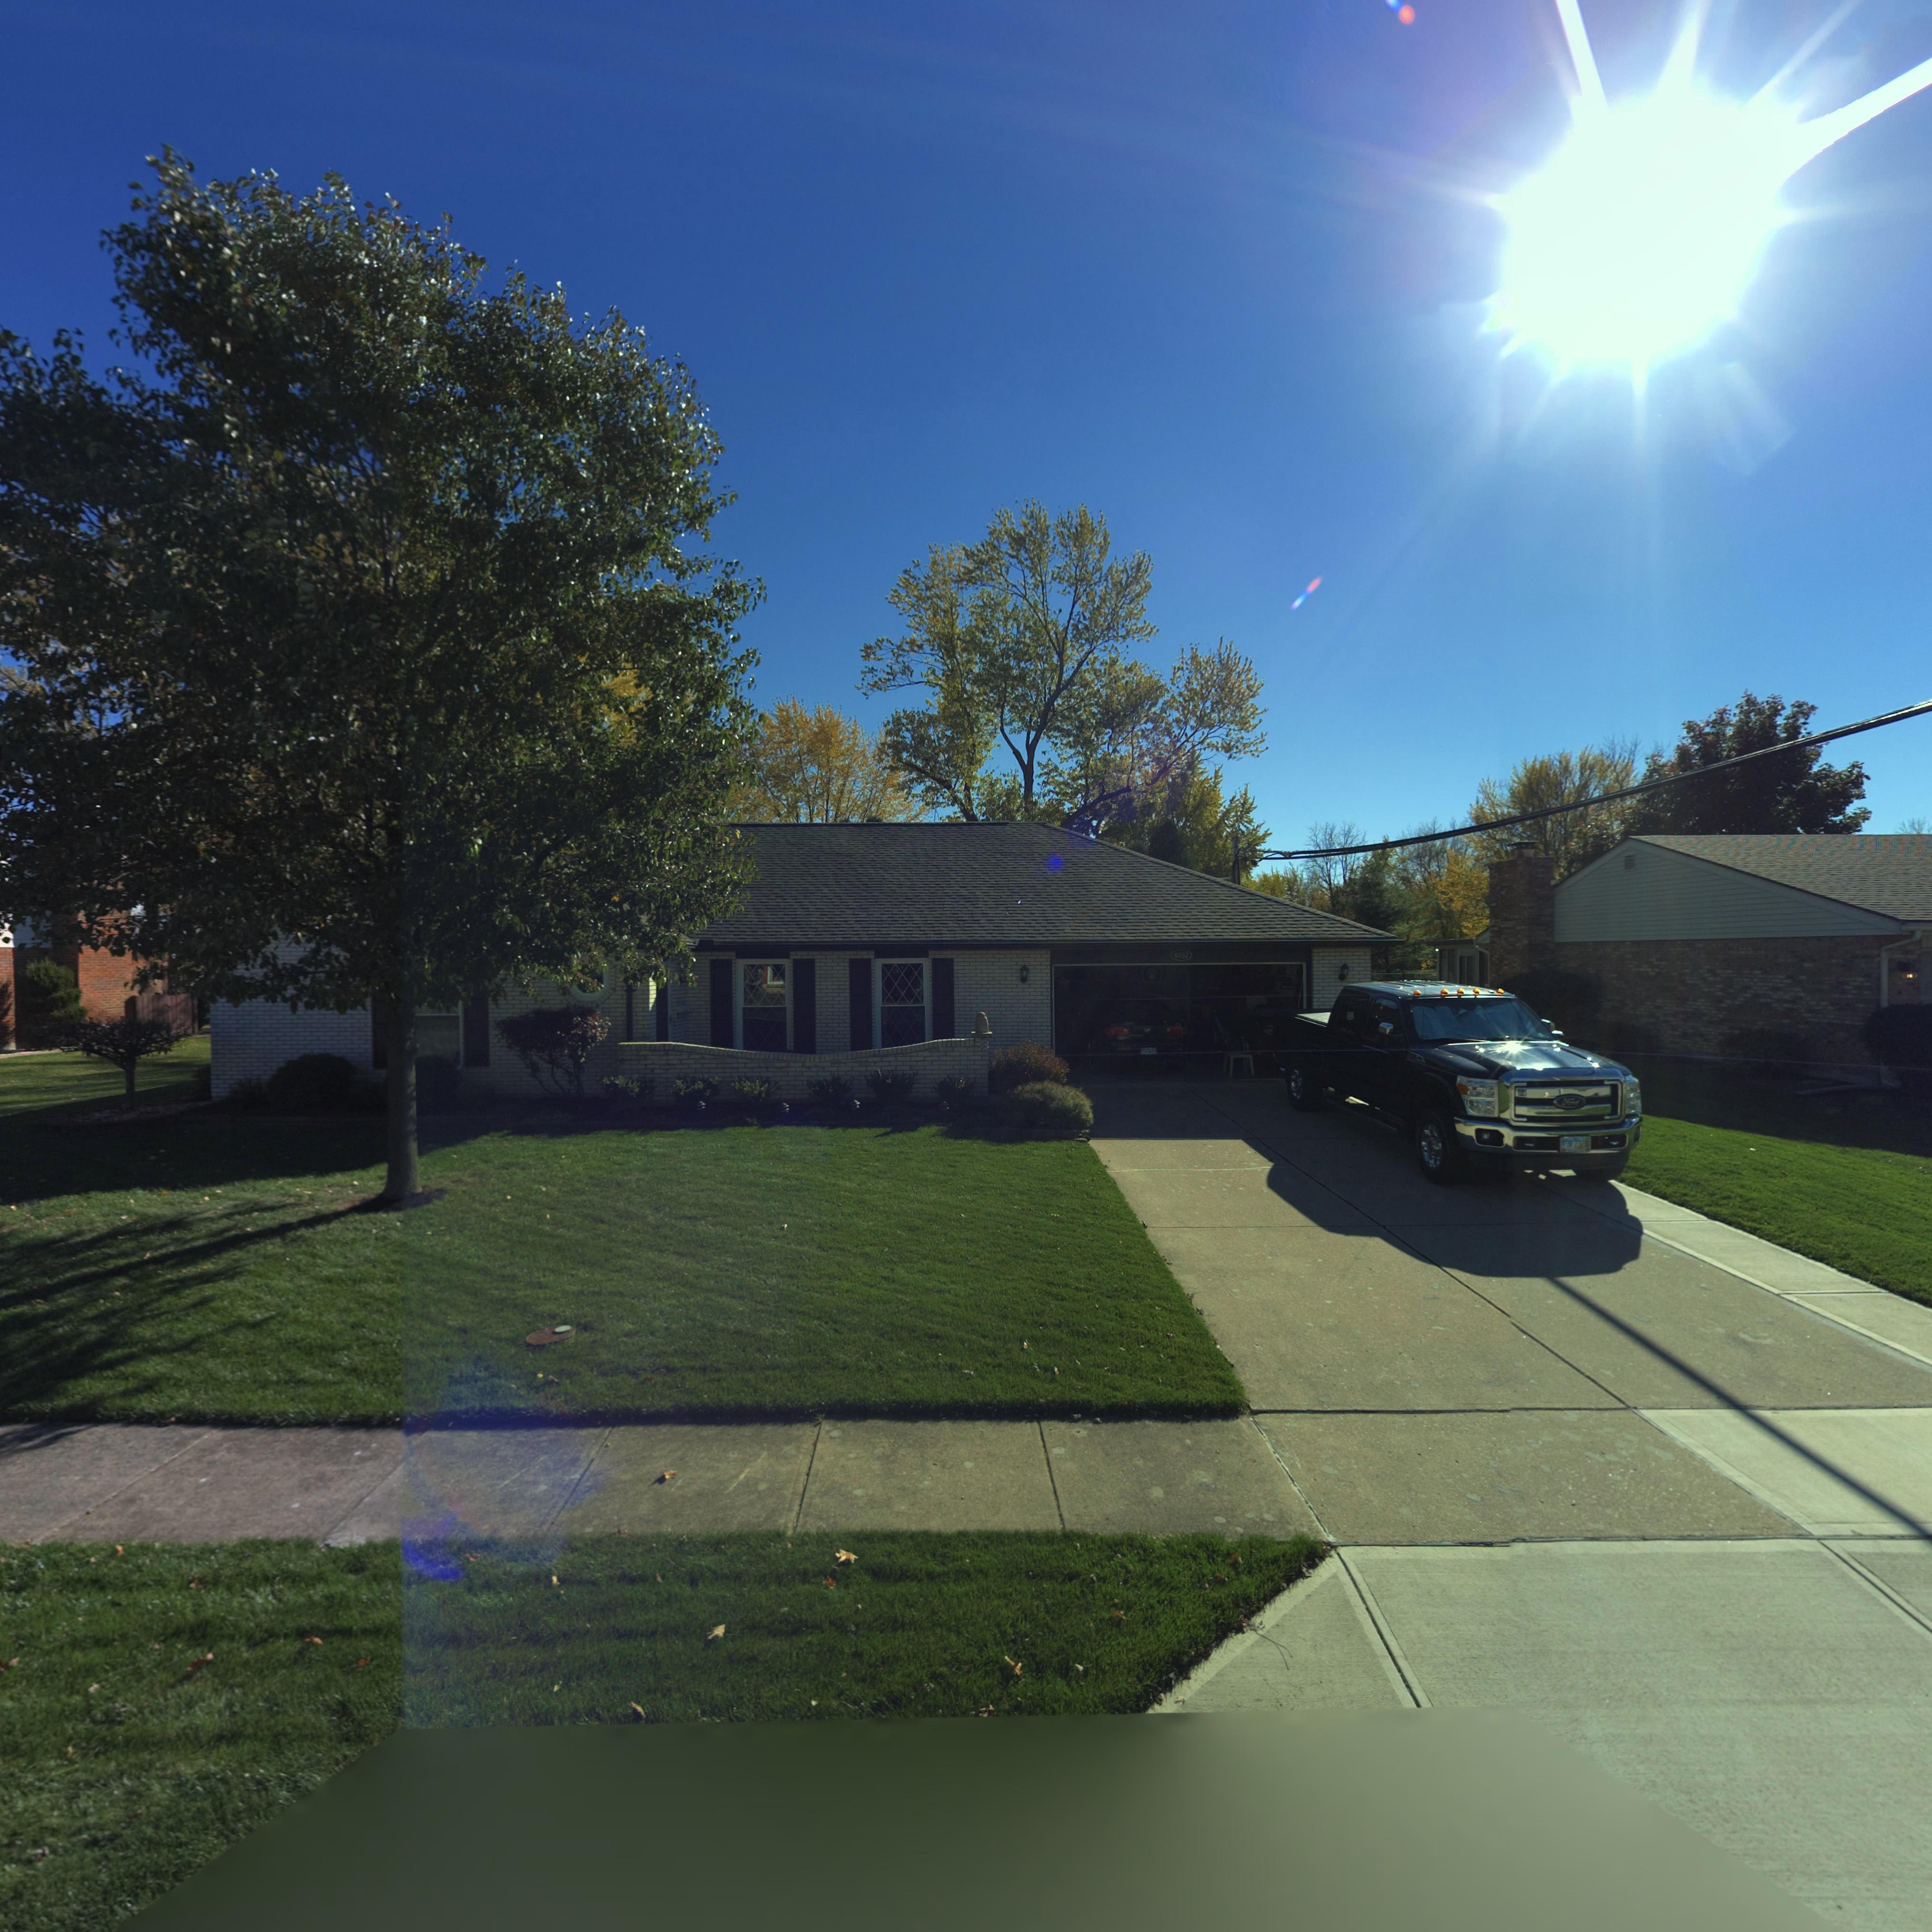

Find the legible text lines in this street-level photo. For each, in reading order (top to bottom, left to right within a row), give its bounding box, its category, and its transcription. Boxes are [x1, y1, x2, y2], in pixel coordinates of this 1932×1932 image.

[1172, 952, 1190, 959] StreetNumber: 4032